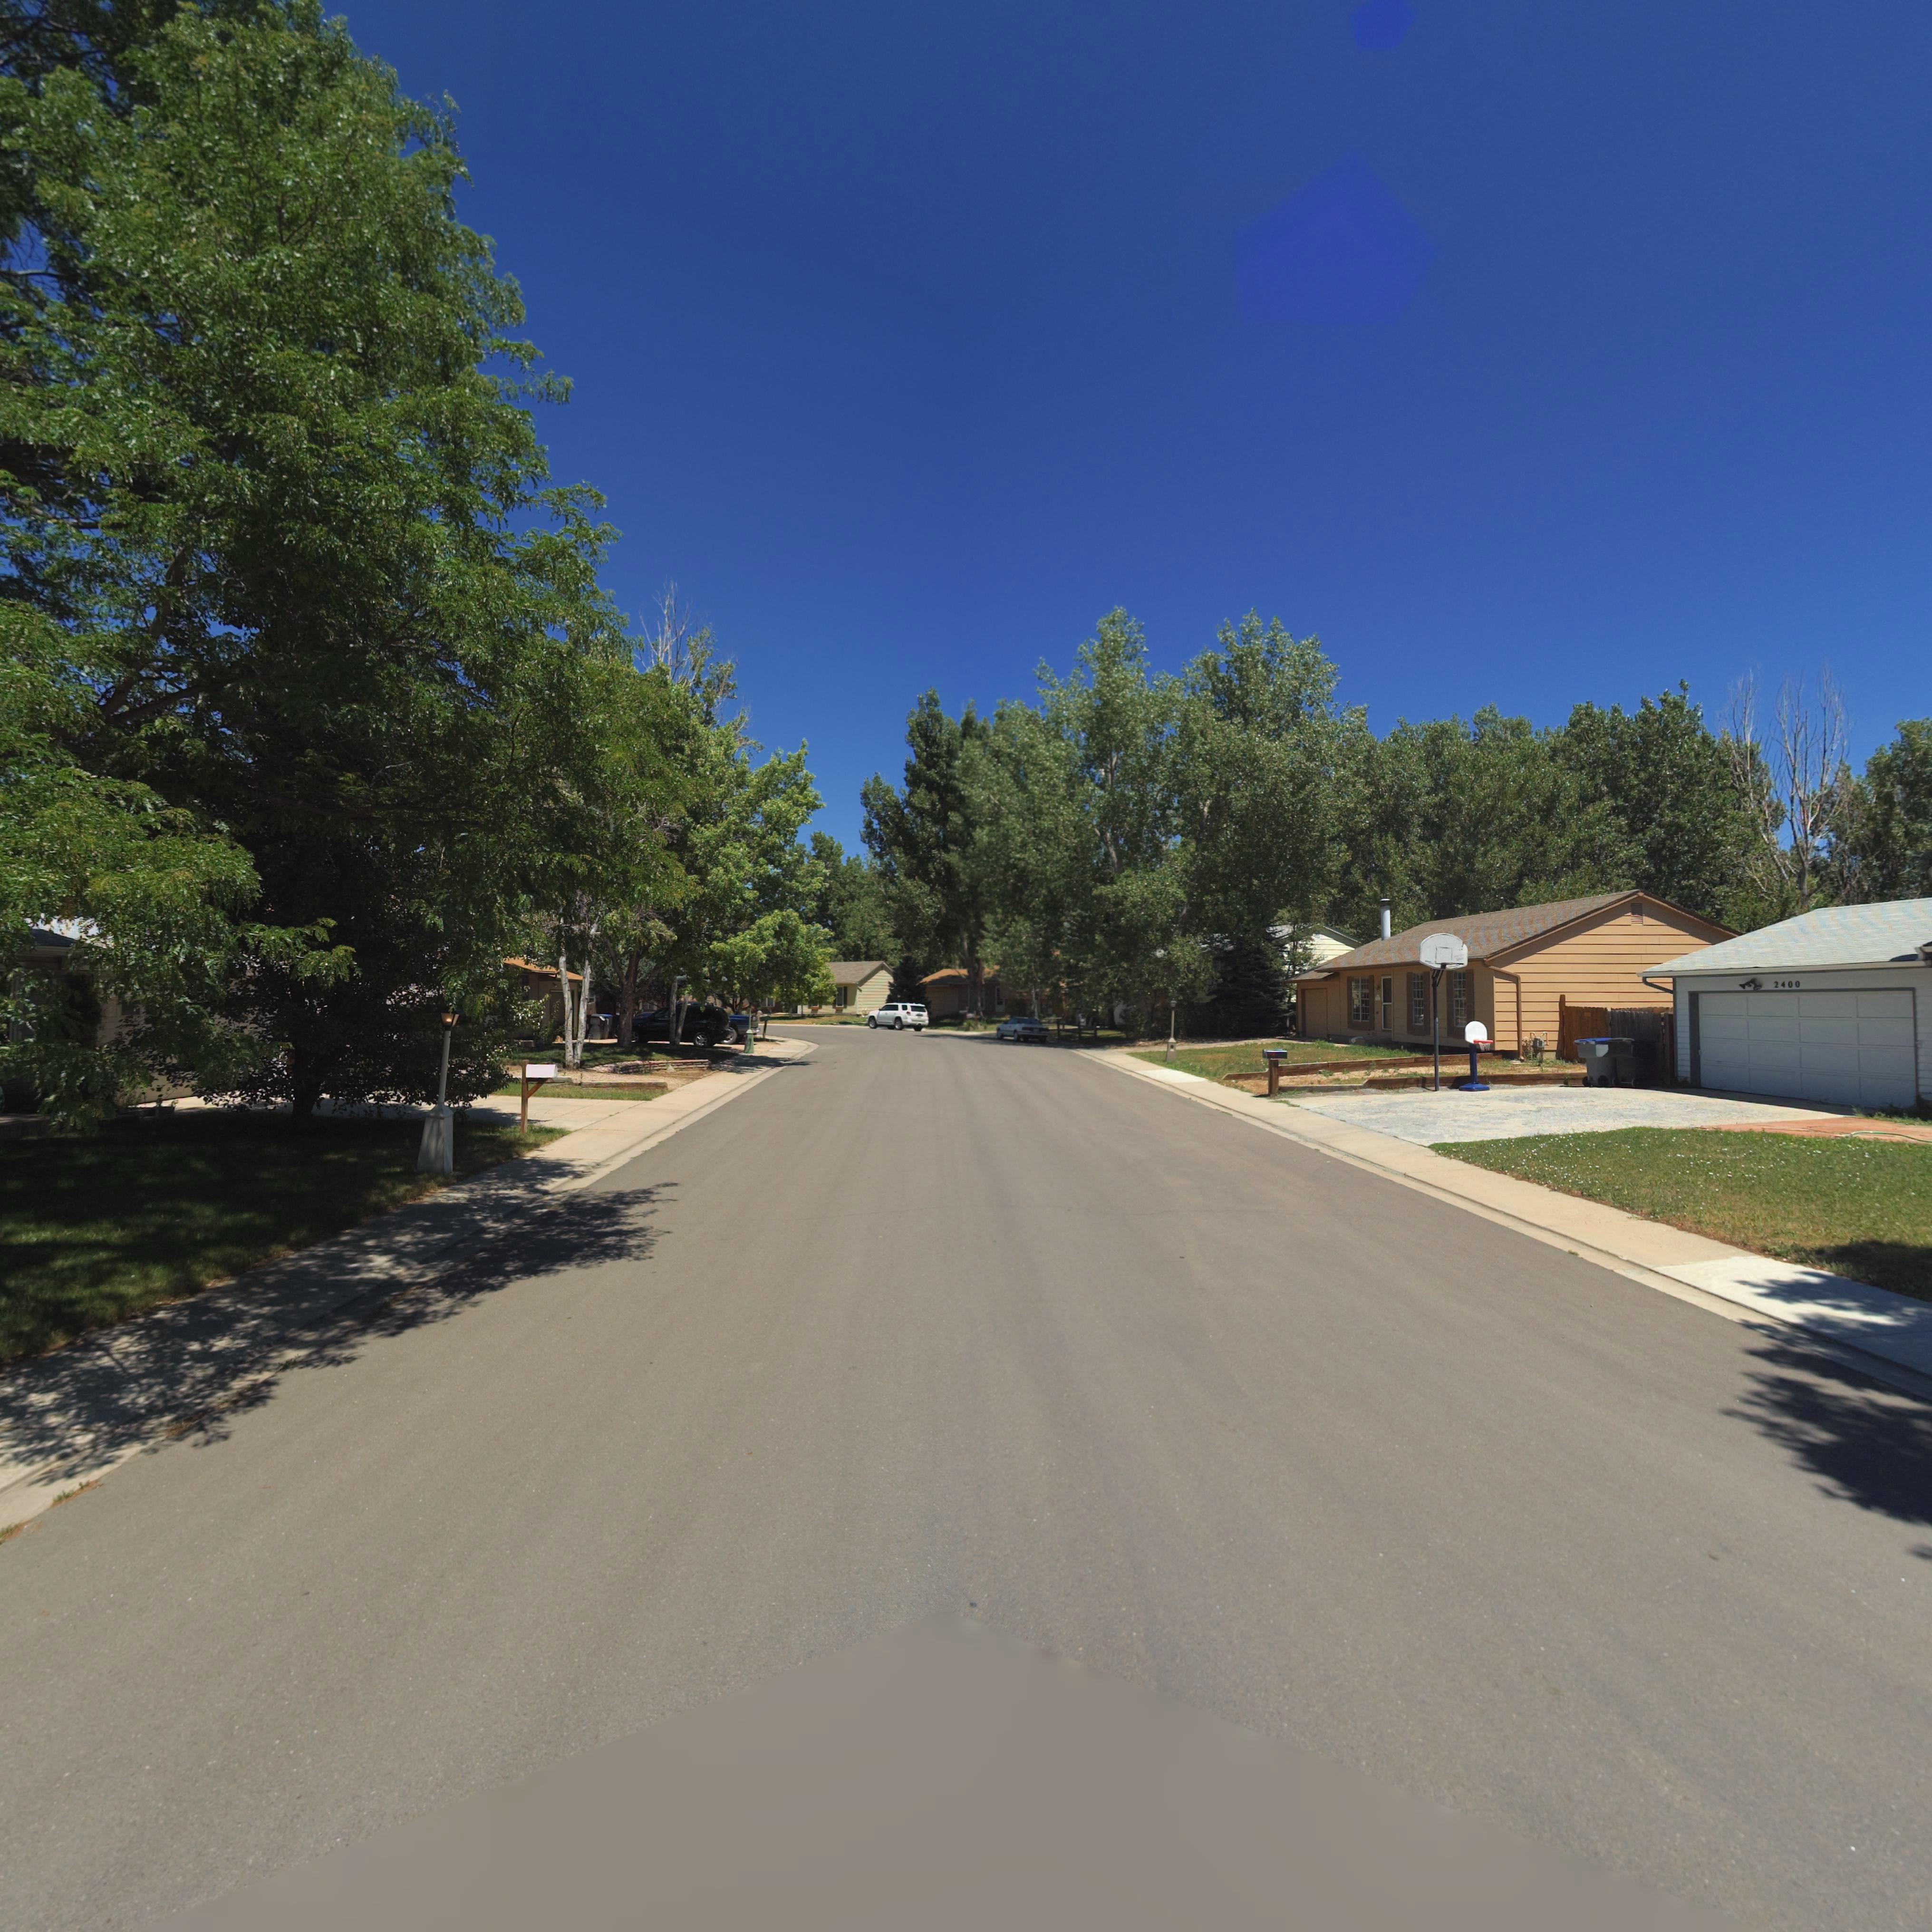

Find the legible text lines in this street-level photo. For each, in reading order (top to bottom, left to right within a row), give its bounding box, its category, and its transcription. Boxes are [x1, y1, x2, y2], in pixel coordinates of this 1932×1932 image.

[1774, 980, 1800, 988] StreetNumber: 2400